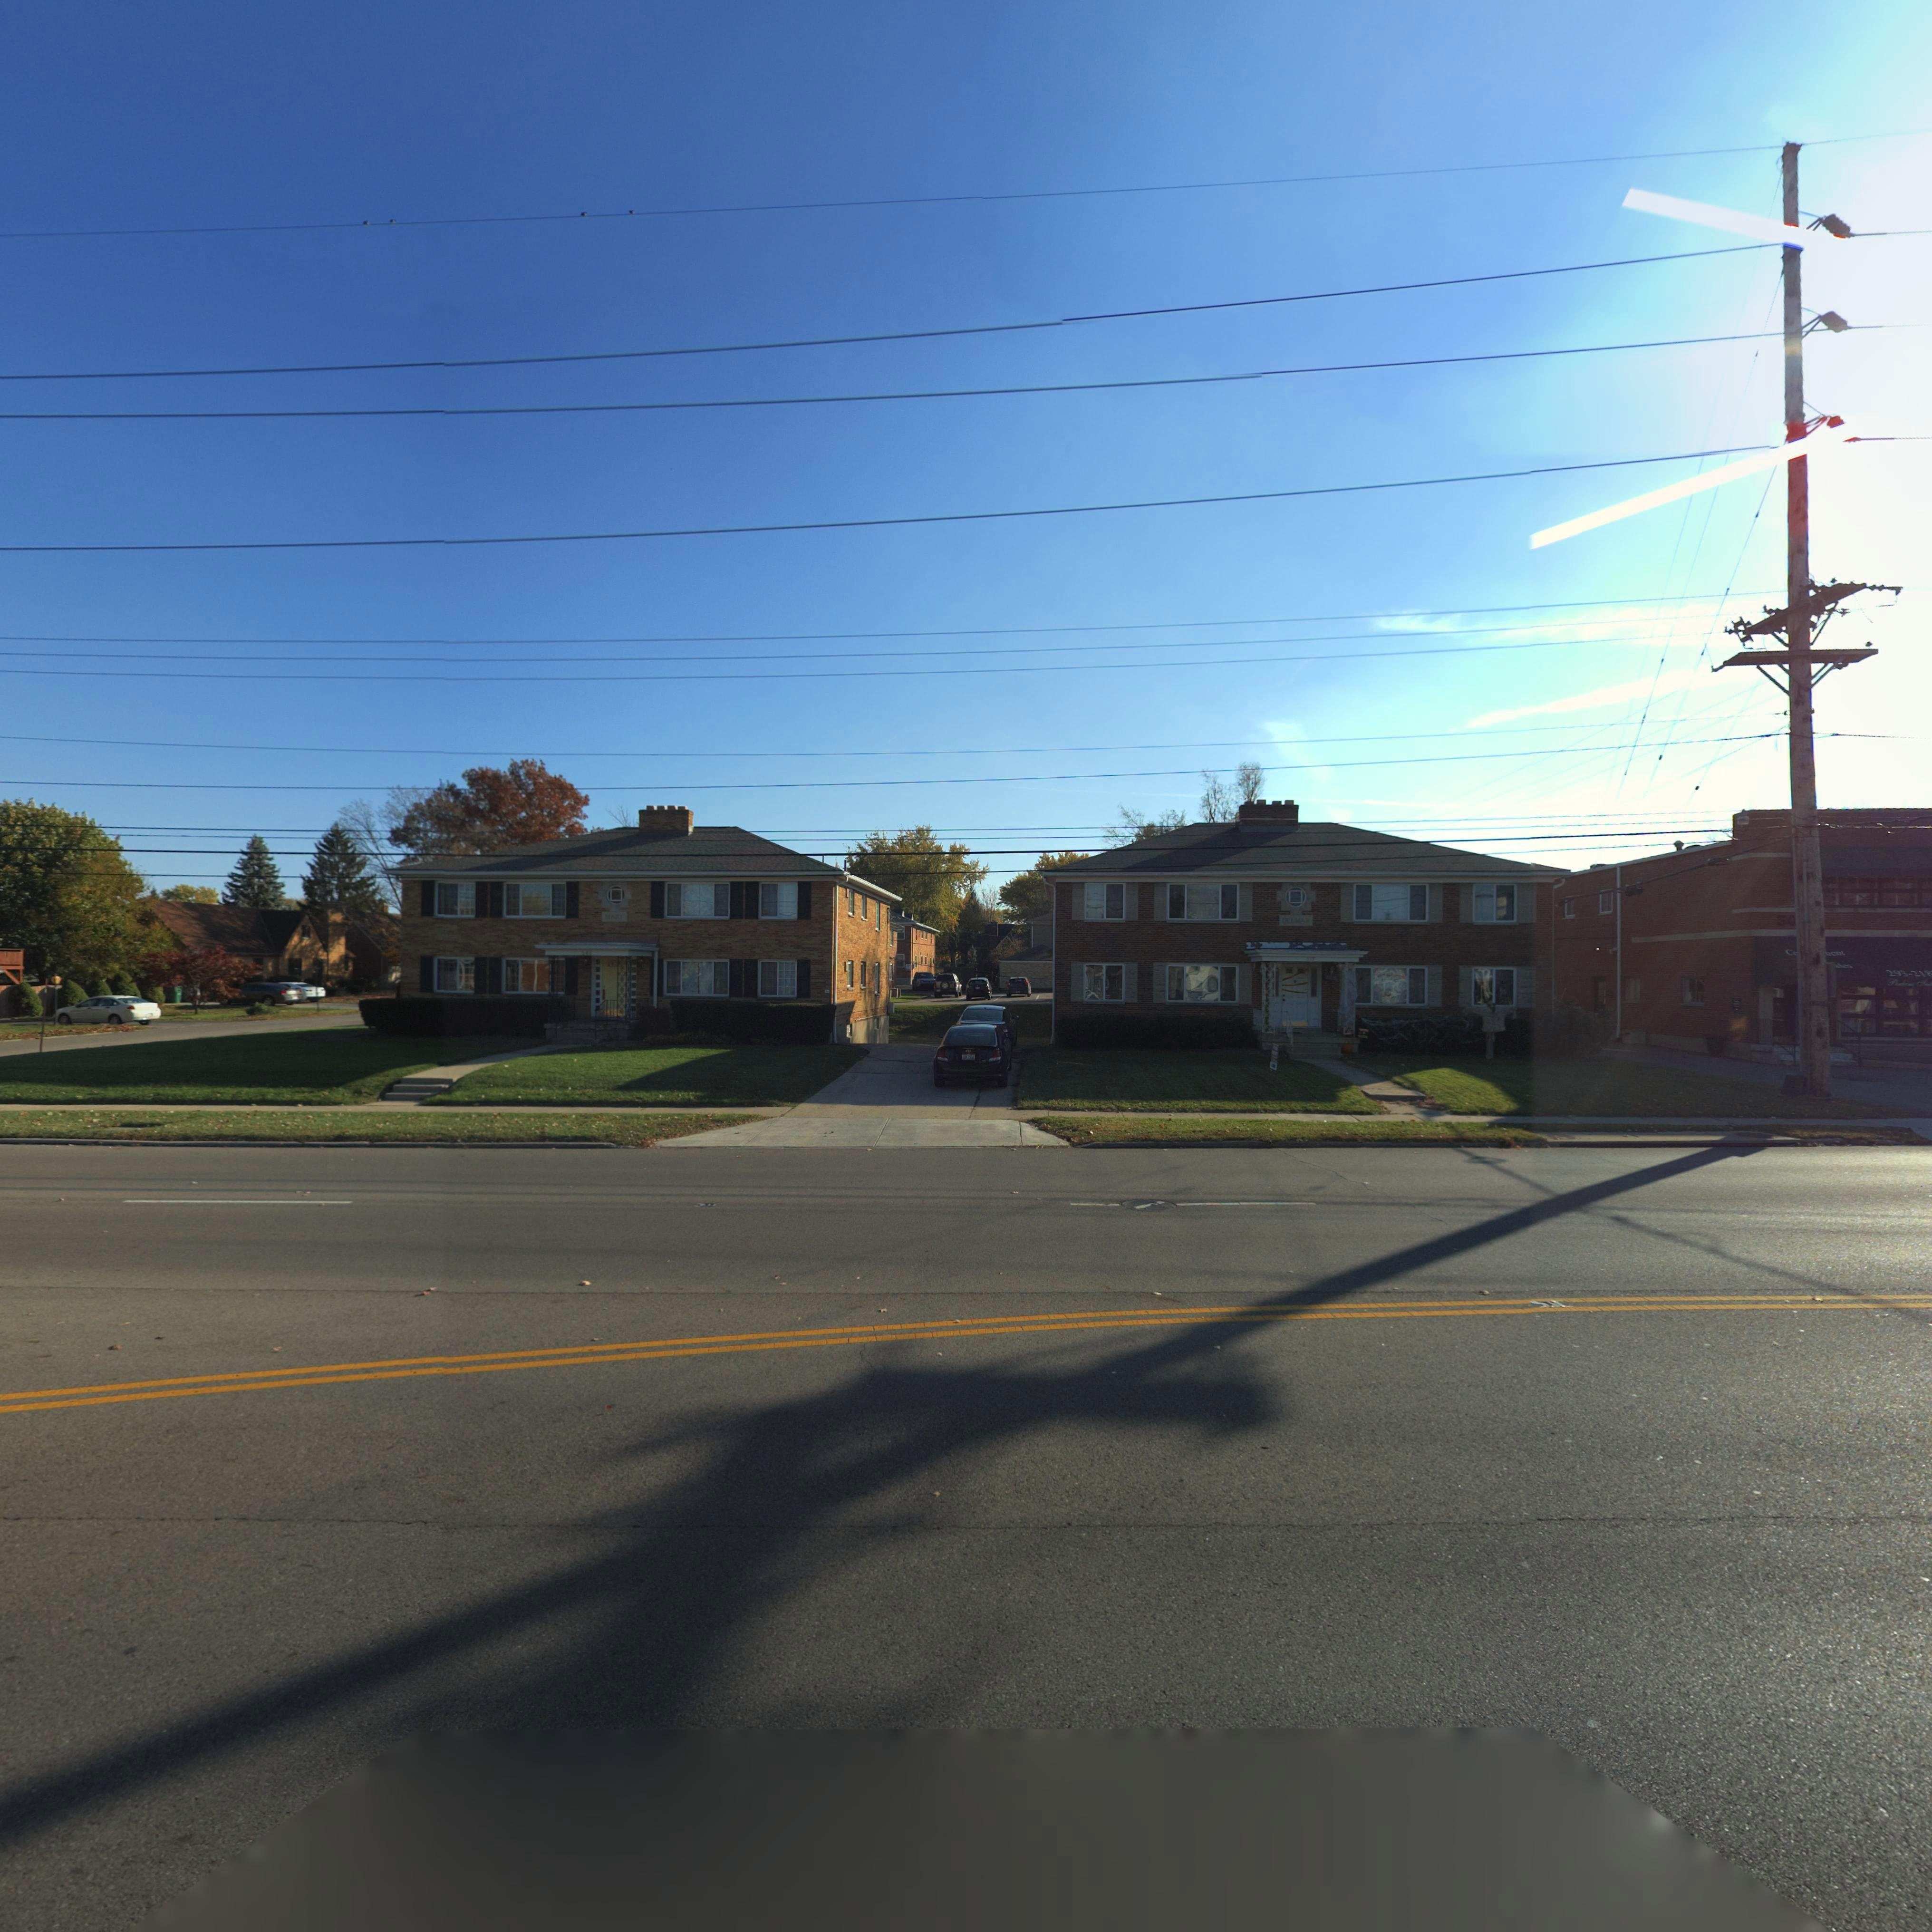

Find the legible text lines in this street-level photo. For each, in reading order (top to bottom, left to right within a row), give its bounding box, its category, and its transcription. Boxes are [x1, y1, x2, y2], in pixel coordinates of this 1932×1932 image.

[1776, 915, 1796, 927] StreetNumber: 50
[580, 949, 593, 956] StreetNumber: 542
[1306, 956, 1314, 962] StreetNumber: 5*8